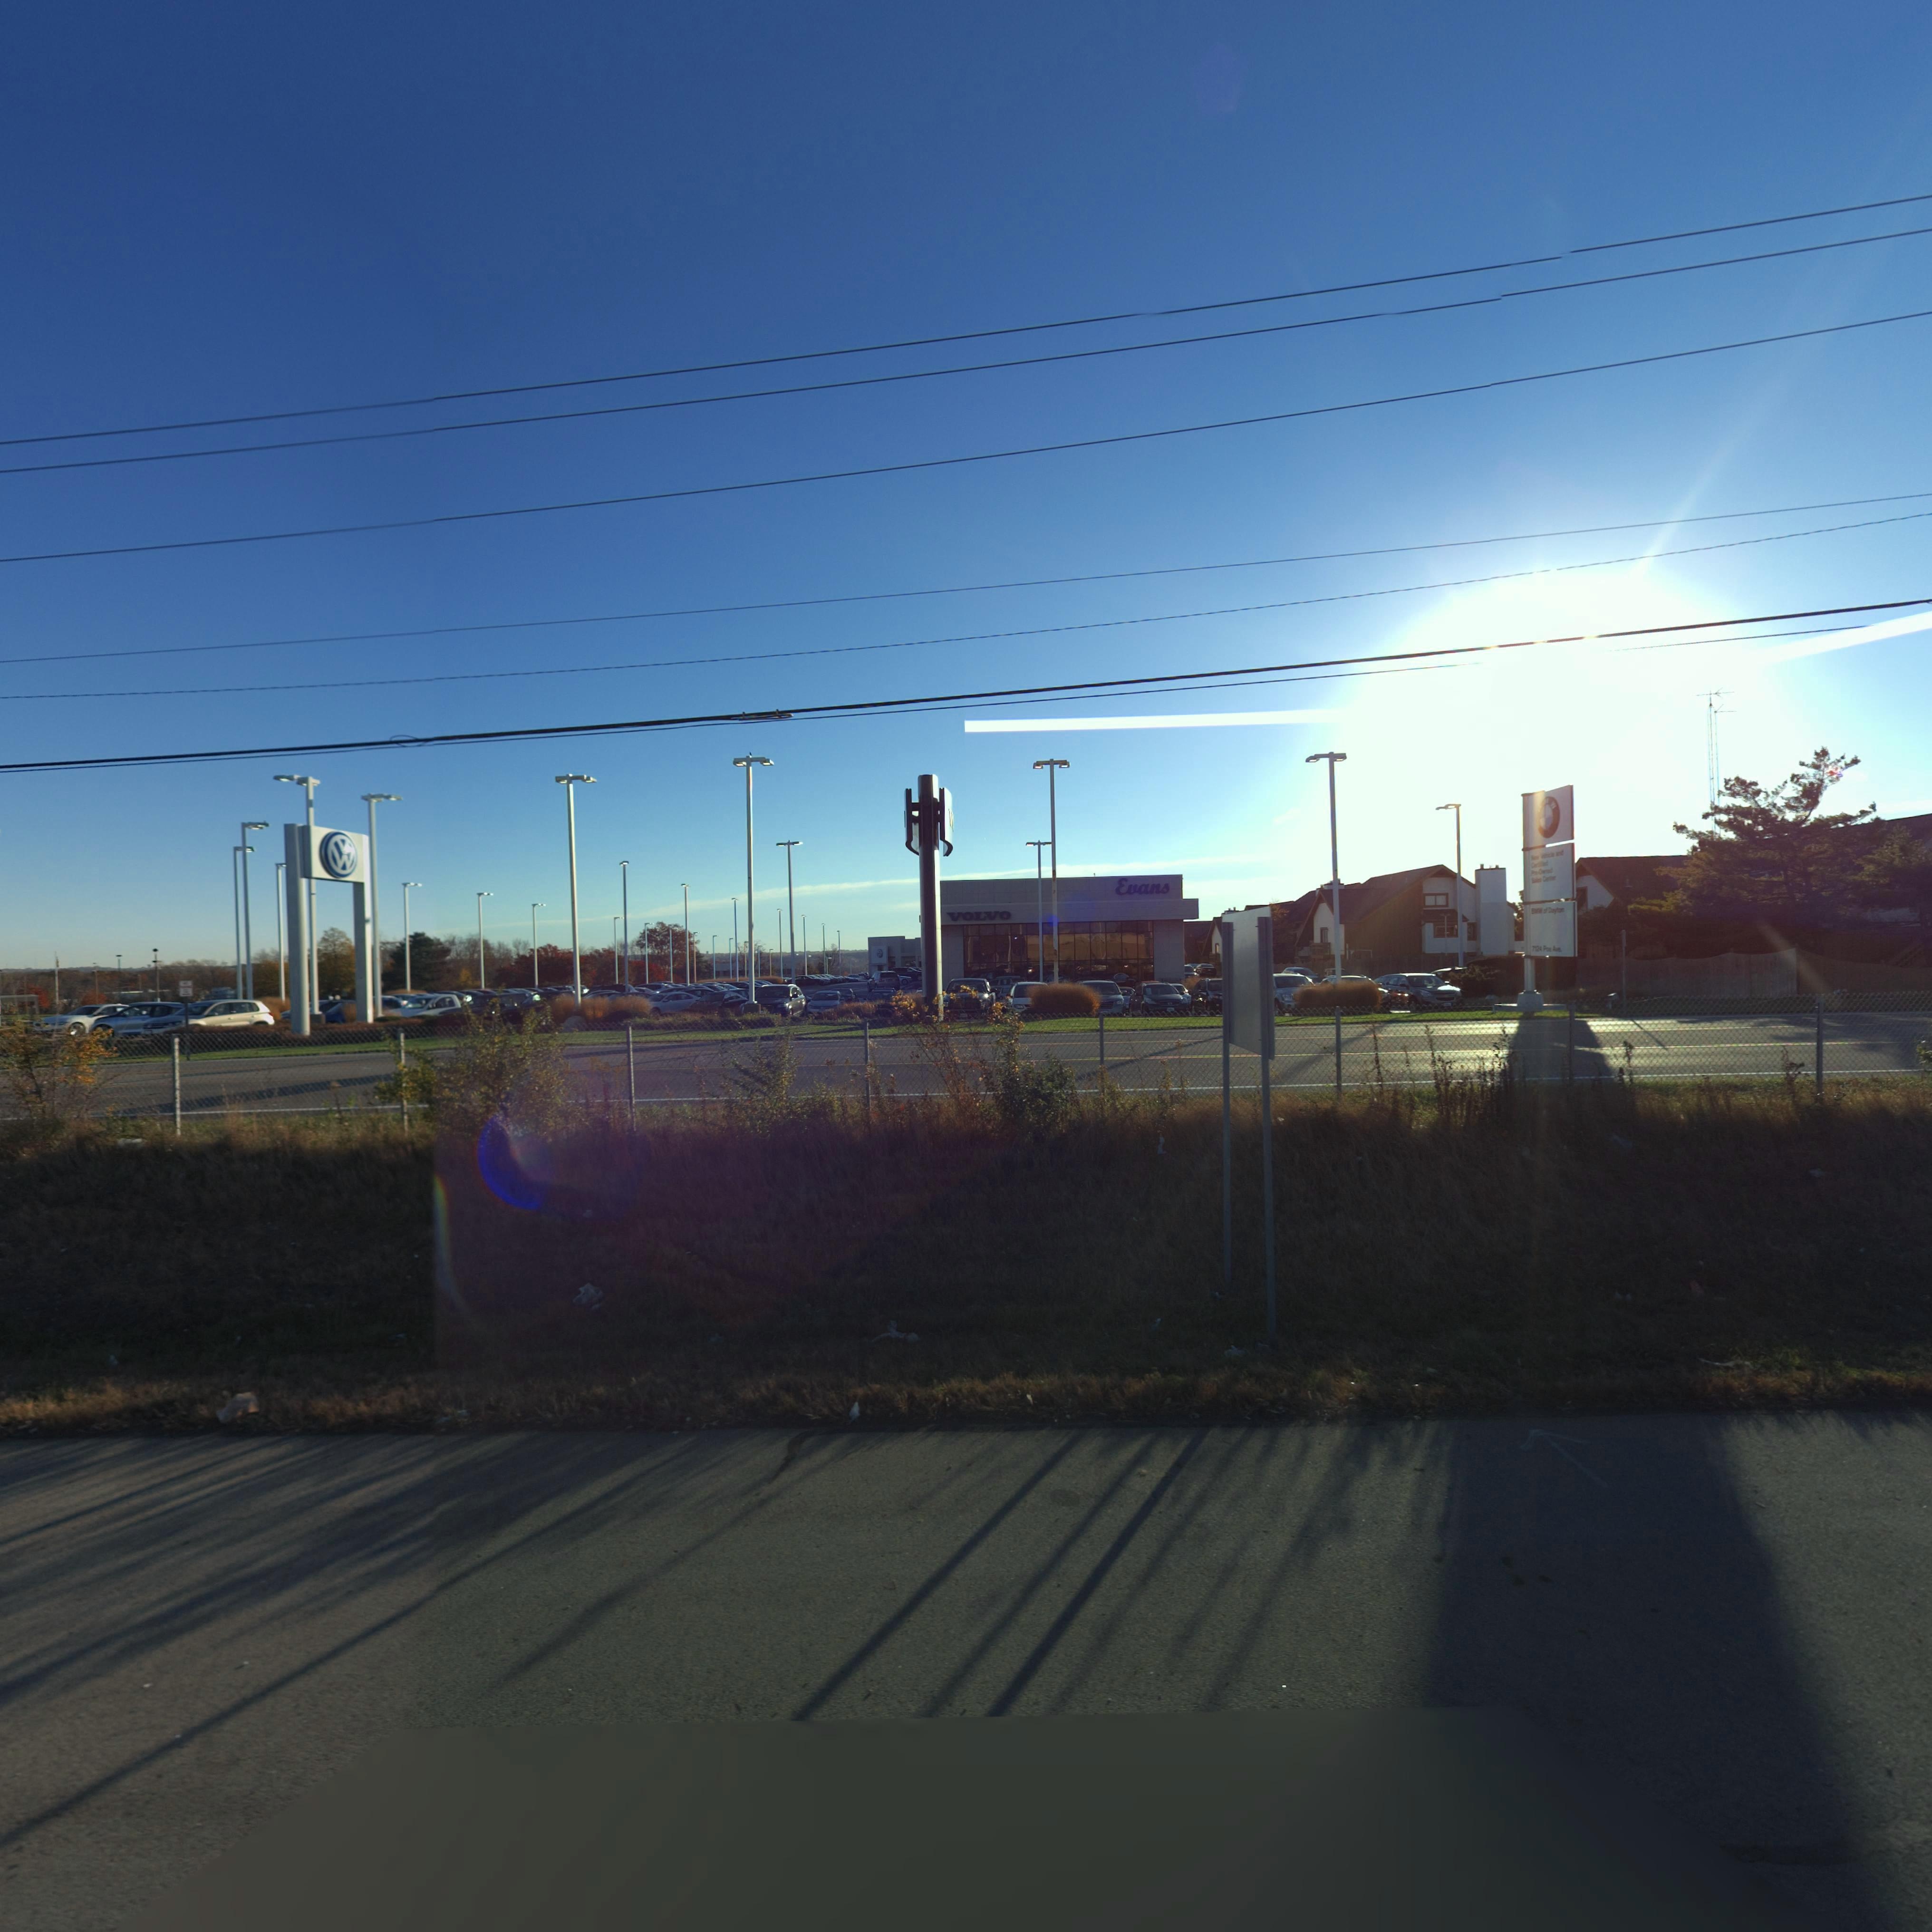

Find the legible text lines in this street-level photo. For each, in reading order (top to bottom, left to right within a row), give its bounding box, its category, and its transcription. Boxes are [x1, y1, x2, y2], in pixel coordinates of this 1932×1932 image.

[1113, 875, 1154, 901] None: Eva
[945, 909, 1013, 923] None: VOLVO
[1530, 907, 1564, 915] None: BMW of Dayton
[1531, 944, 1543, 953] StreetNumber: 7*2*